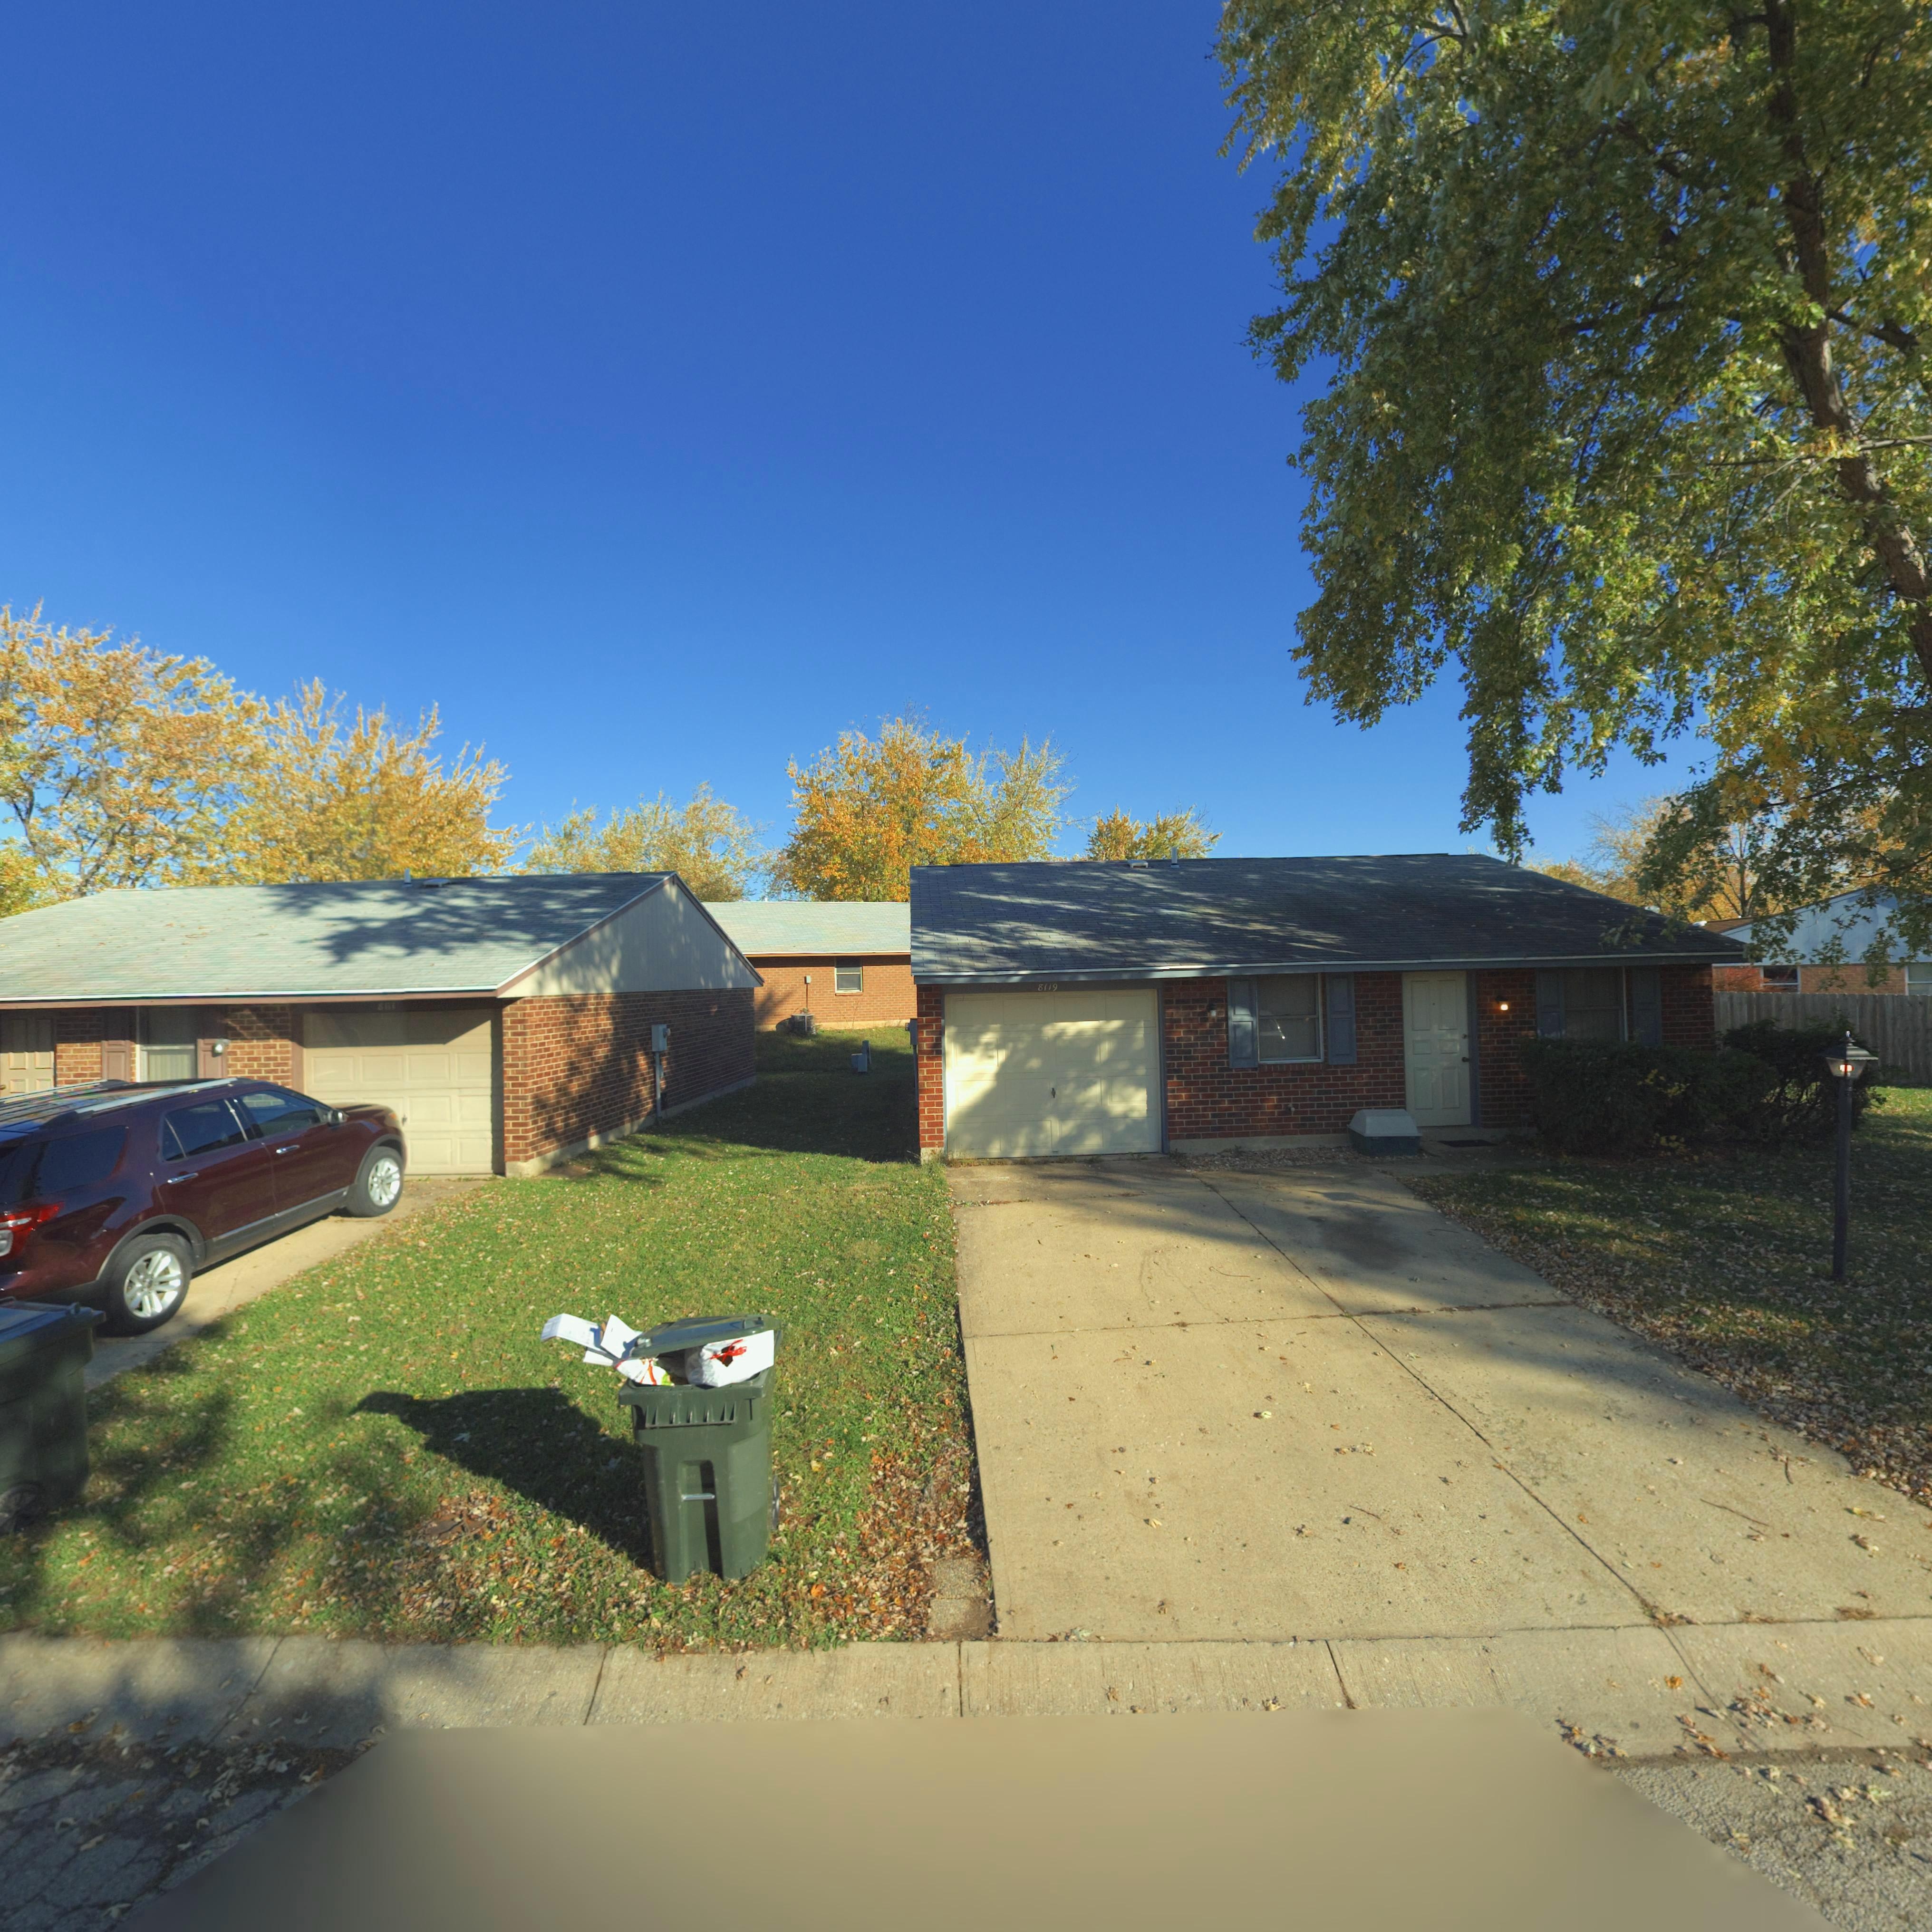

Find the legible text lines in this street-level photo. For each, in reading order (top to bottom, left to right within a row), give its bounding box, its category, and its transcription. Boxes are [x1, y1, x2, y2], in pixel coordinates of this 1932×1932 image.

[1037, 982, 1059, 993] StreetNumber: 8119